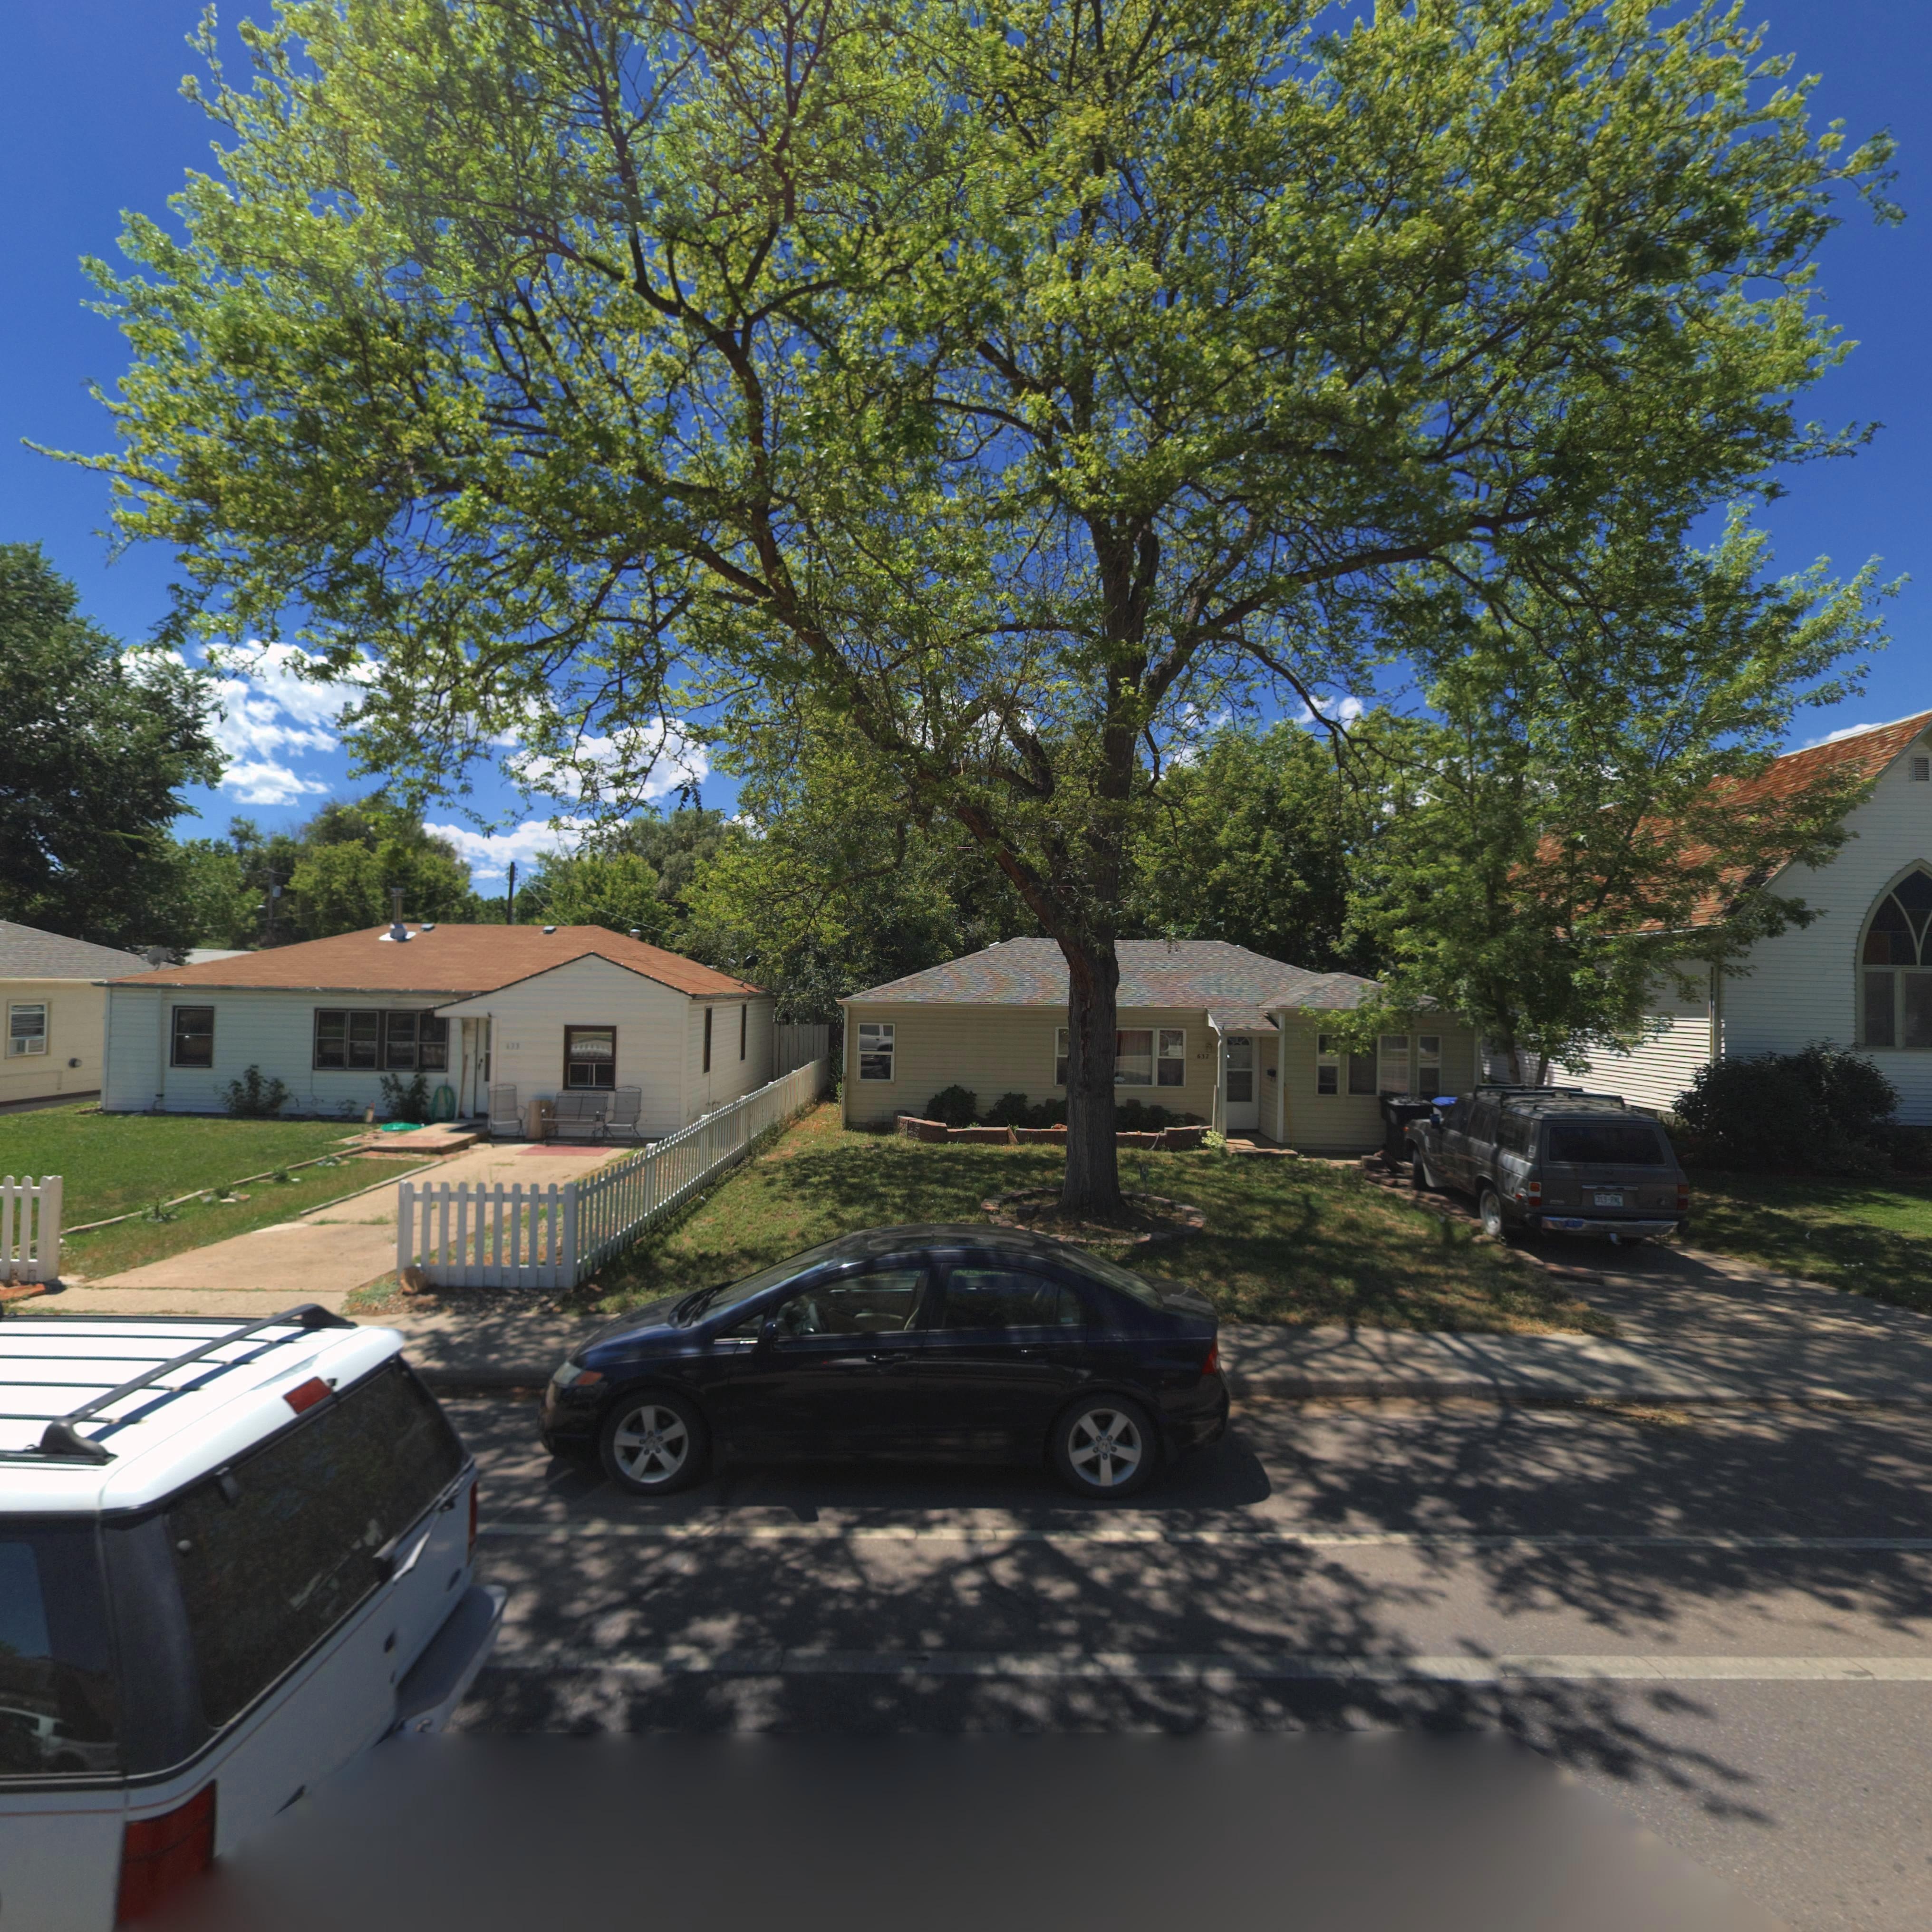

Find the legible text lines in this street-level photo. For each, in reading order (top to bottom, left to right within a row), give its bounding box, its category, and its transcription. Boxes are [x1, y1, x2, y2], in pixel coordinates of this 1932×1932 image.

[505, 1041, 521, 1051] StreetNumber: 633
[1196, 1053, 1210, 1059] StreetNumber: 637